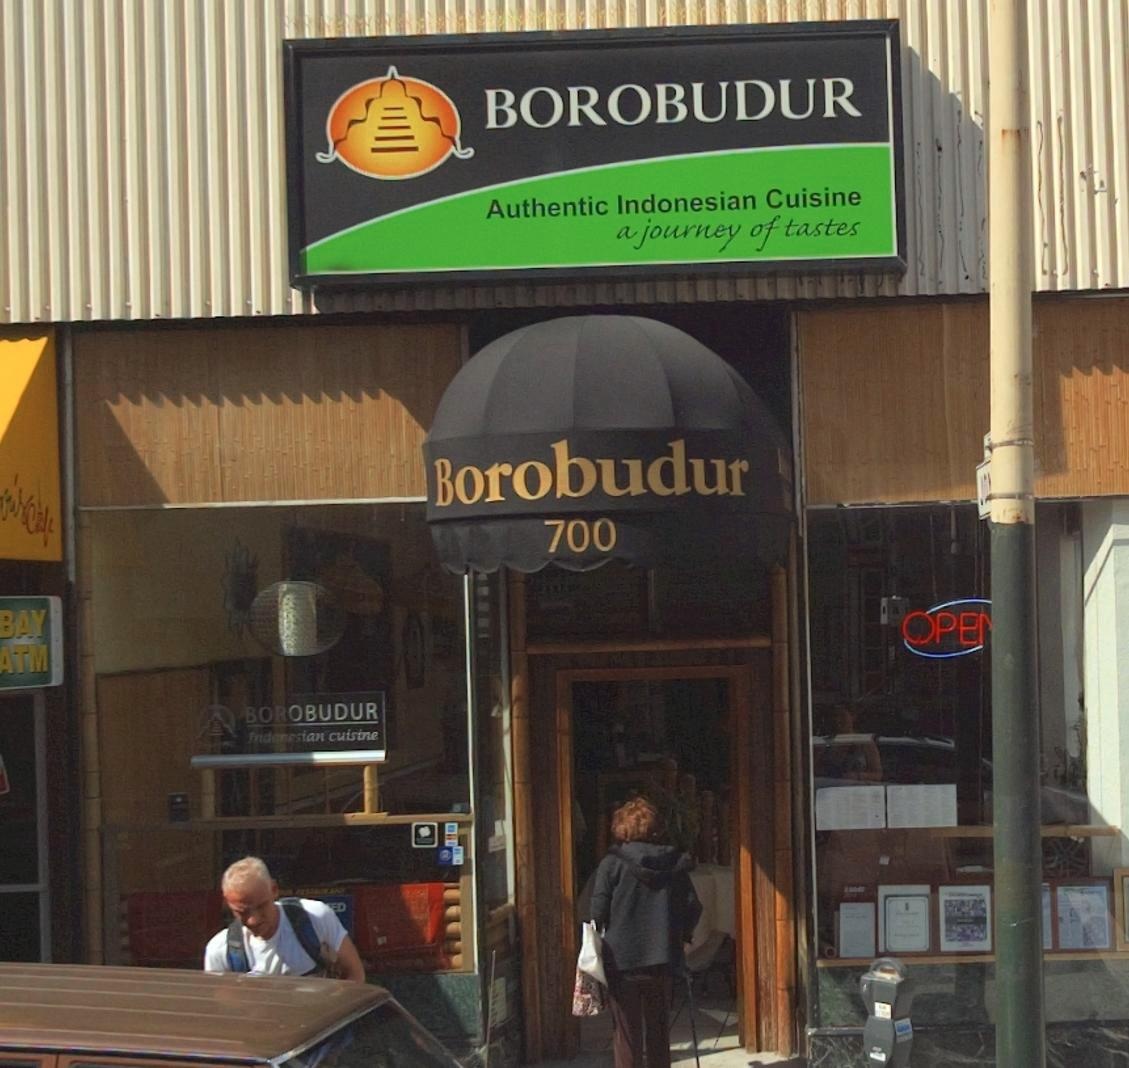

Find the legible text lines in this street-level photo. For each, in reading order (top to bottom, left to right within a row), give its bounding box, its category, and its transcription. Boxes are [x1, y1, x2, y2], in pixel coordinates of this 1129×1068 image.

[482, 75, 865, 132] BusinessName: BOROBUDUR
[485, 184, 867, 220] BusinessName: Authentic Indonesian Cuisine
[607, 217, 863, 254] BusinessName: a journey of tastes
[430, 435, 755, 508] BusinessName: Borobudur
[23, 500, 58, 551] None: Cafe
[543, 517, 620, 554] StreetNumber: 700
[14, 607, 51, 640] None: AY
[901, 608, 980, 646] None: OPE
[11, 642, 49, 674] None: TM
[244, 701, 380, 725] BusinessName: BOROBUDUR
[244, 727, 380, 745] BusinessName: Ind*nesian cusine
[337, 901, 347, 912] None: D